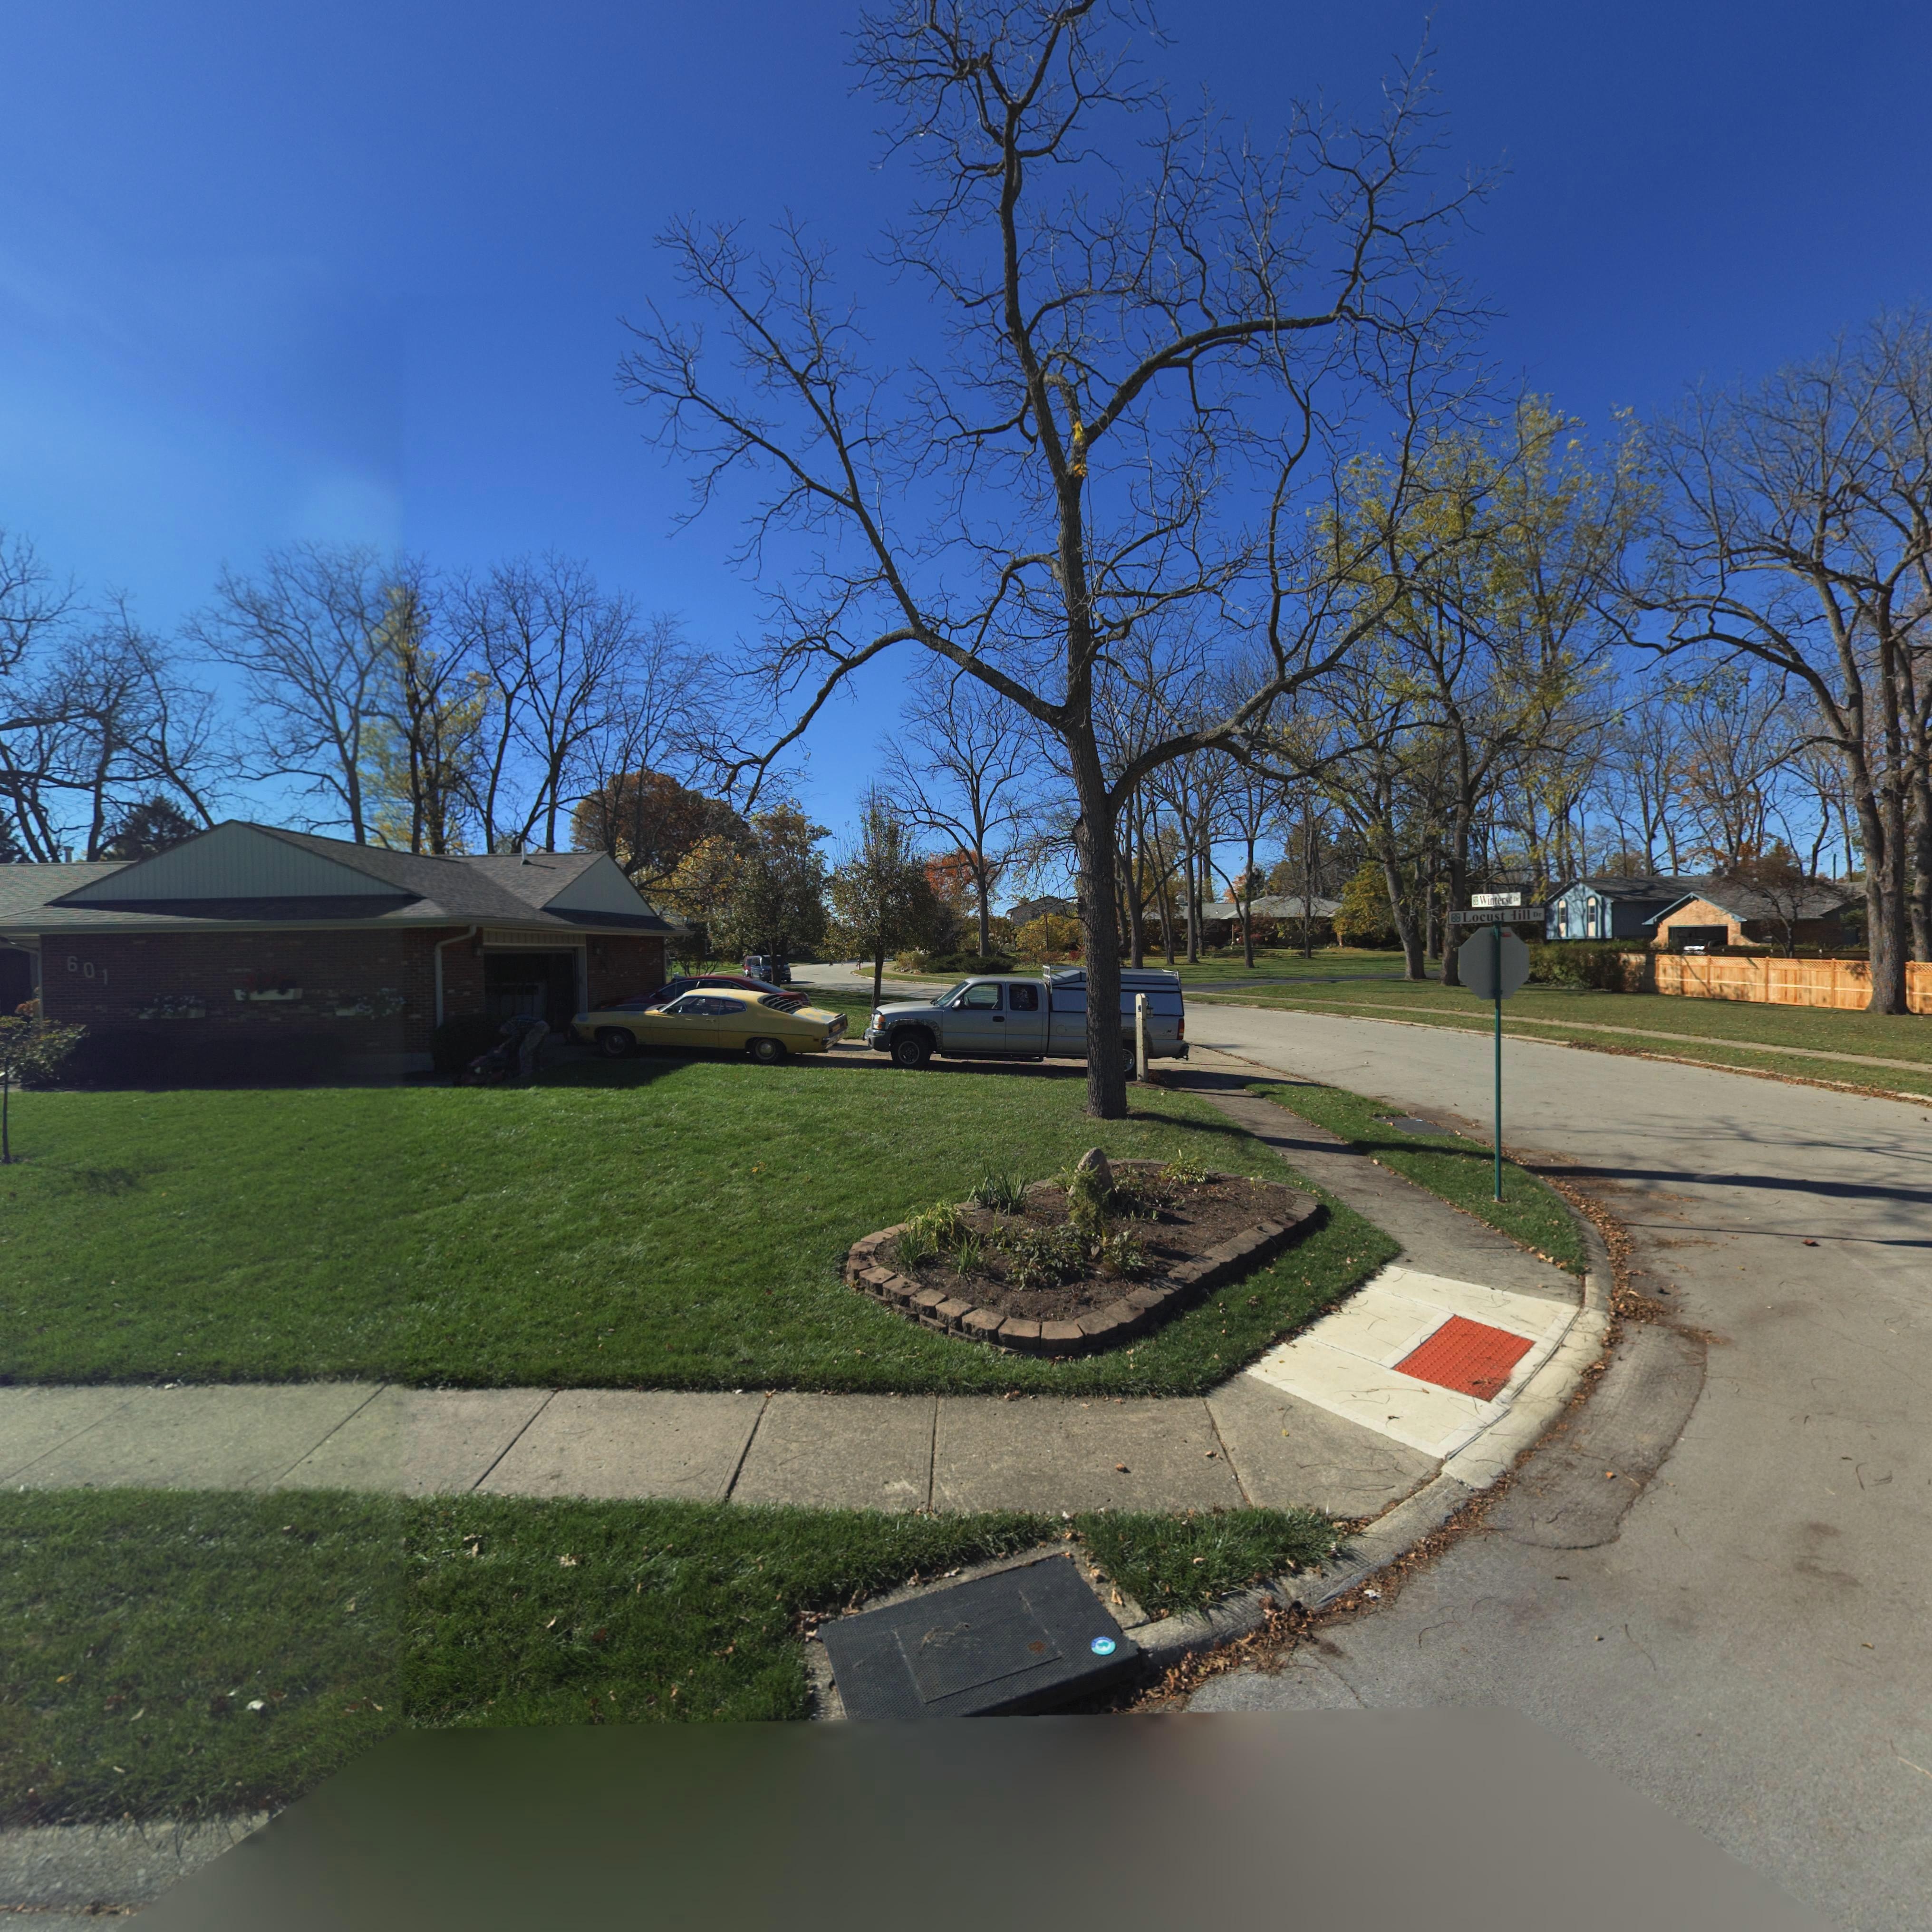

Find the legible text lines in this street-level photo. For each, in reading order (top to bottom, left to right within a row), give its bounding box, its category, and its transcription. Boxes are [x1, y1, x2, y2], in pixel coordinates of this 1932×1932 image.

[66, 955, 109, 985] StreetNumber: 601